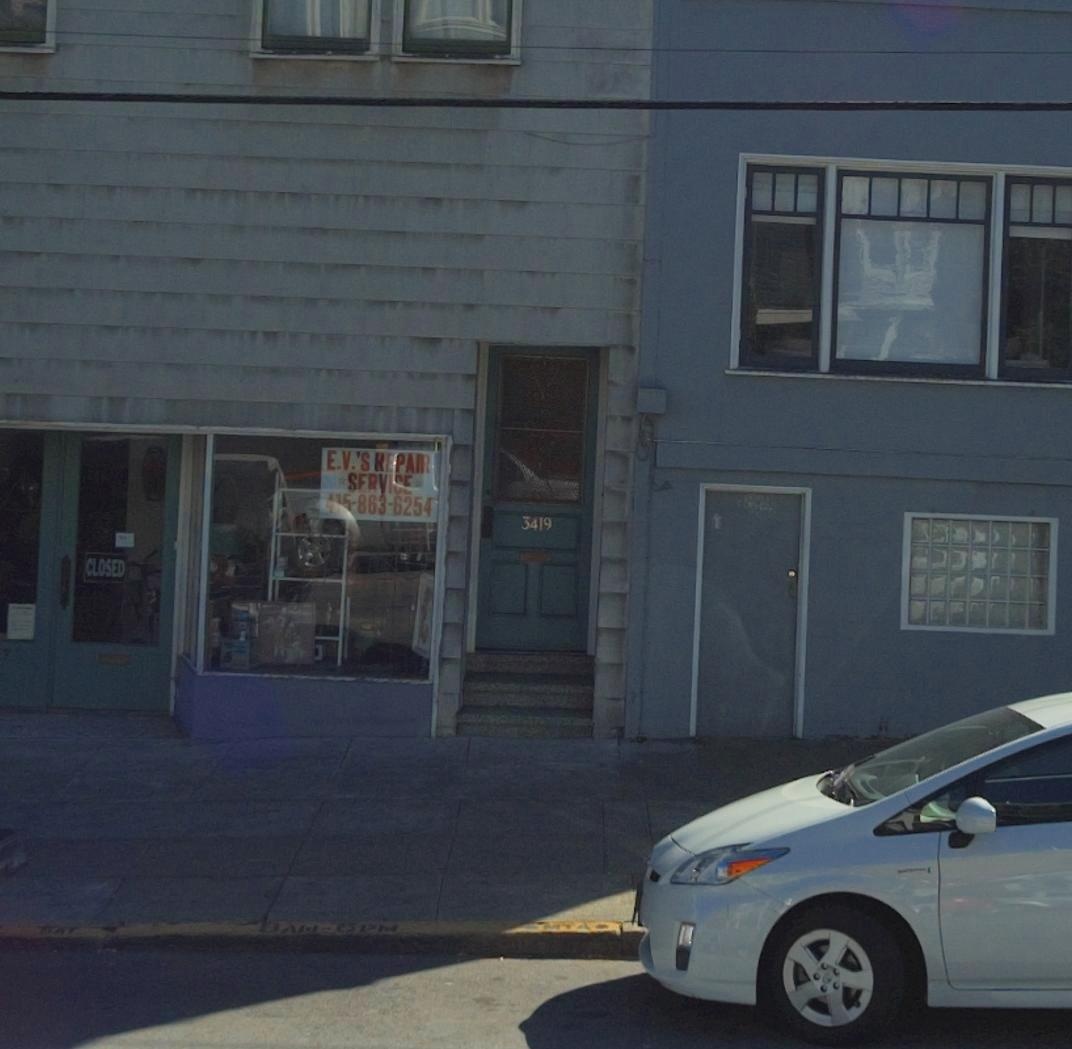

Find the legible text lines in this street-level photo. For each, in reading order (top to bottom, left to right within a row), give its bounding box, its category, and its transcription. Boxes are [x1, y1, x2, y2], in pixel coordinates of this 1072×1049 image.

[325, 447, 433, 475] BusinessName: E.V.'S REPAIR
[346, 471, 415, 496] BusinessName: SERVICE
[323, 492, 434, 518] None: 415-863-6254
[520, 514, 554, 532] StreetNumber: 3419
[84, 556, 127, 578] None: CLOSED
[257, 921, 400, 935] None: 8AM-5PM
[540, 921, 594, 932] None: MTA